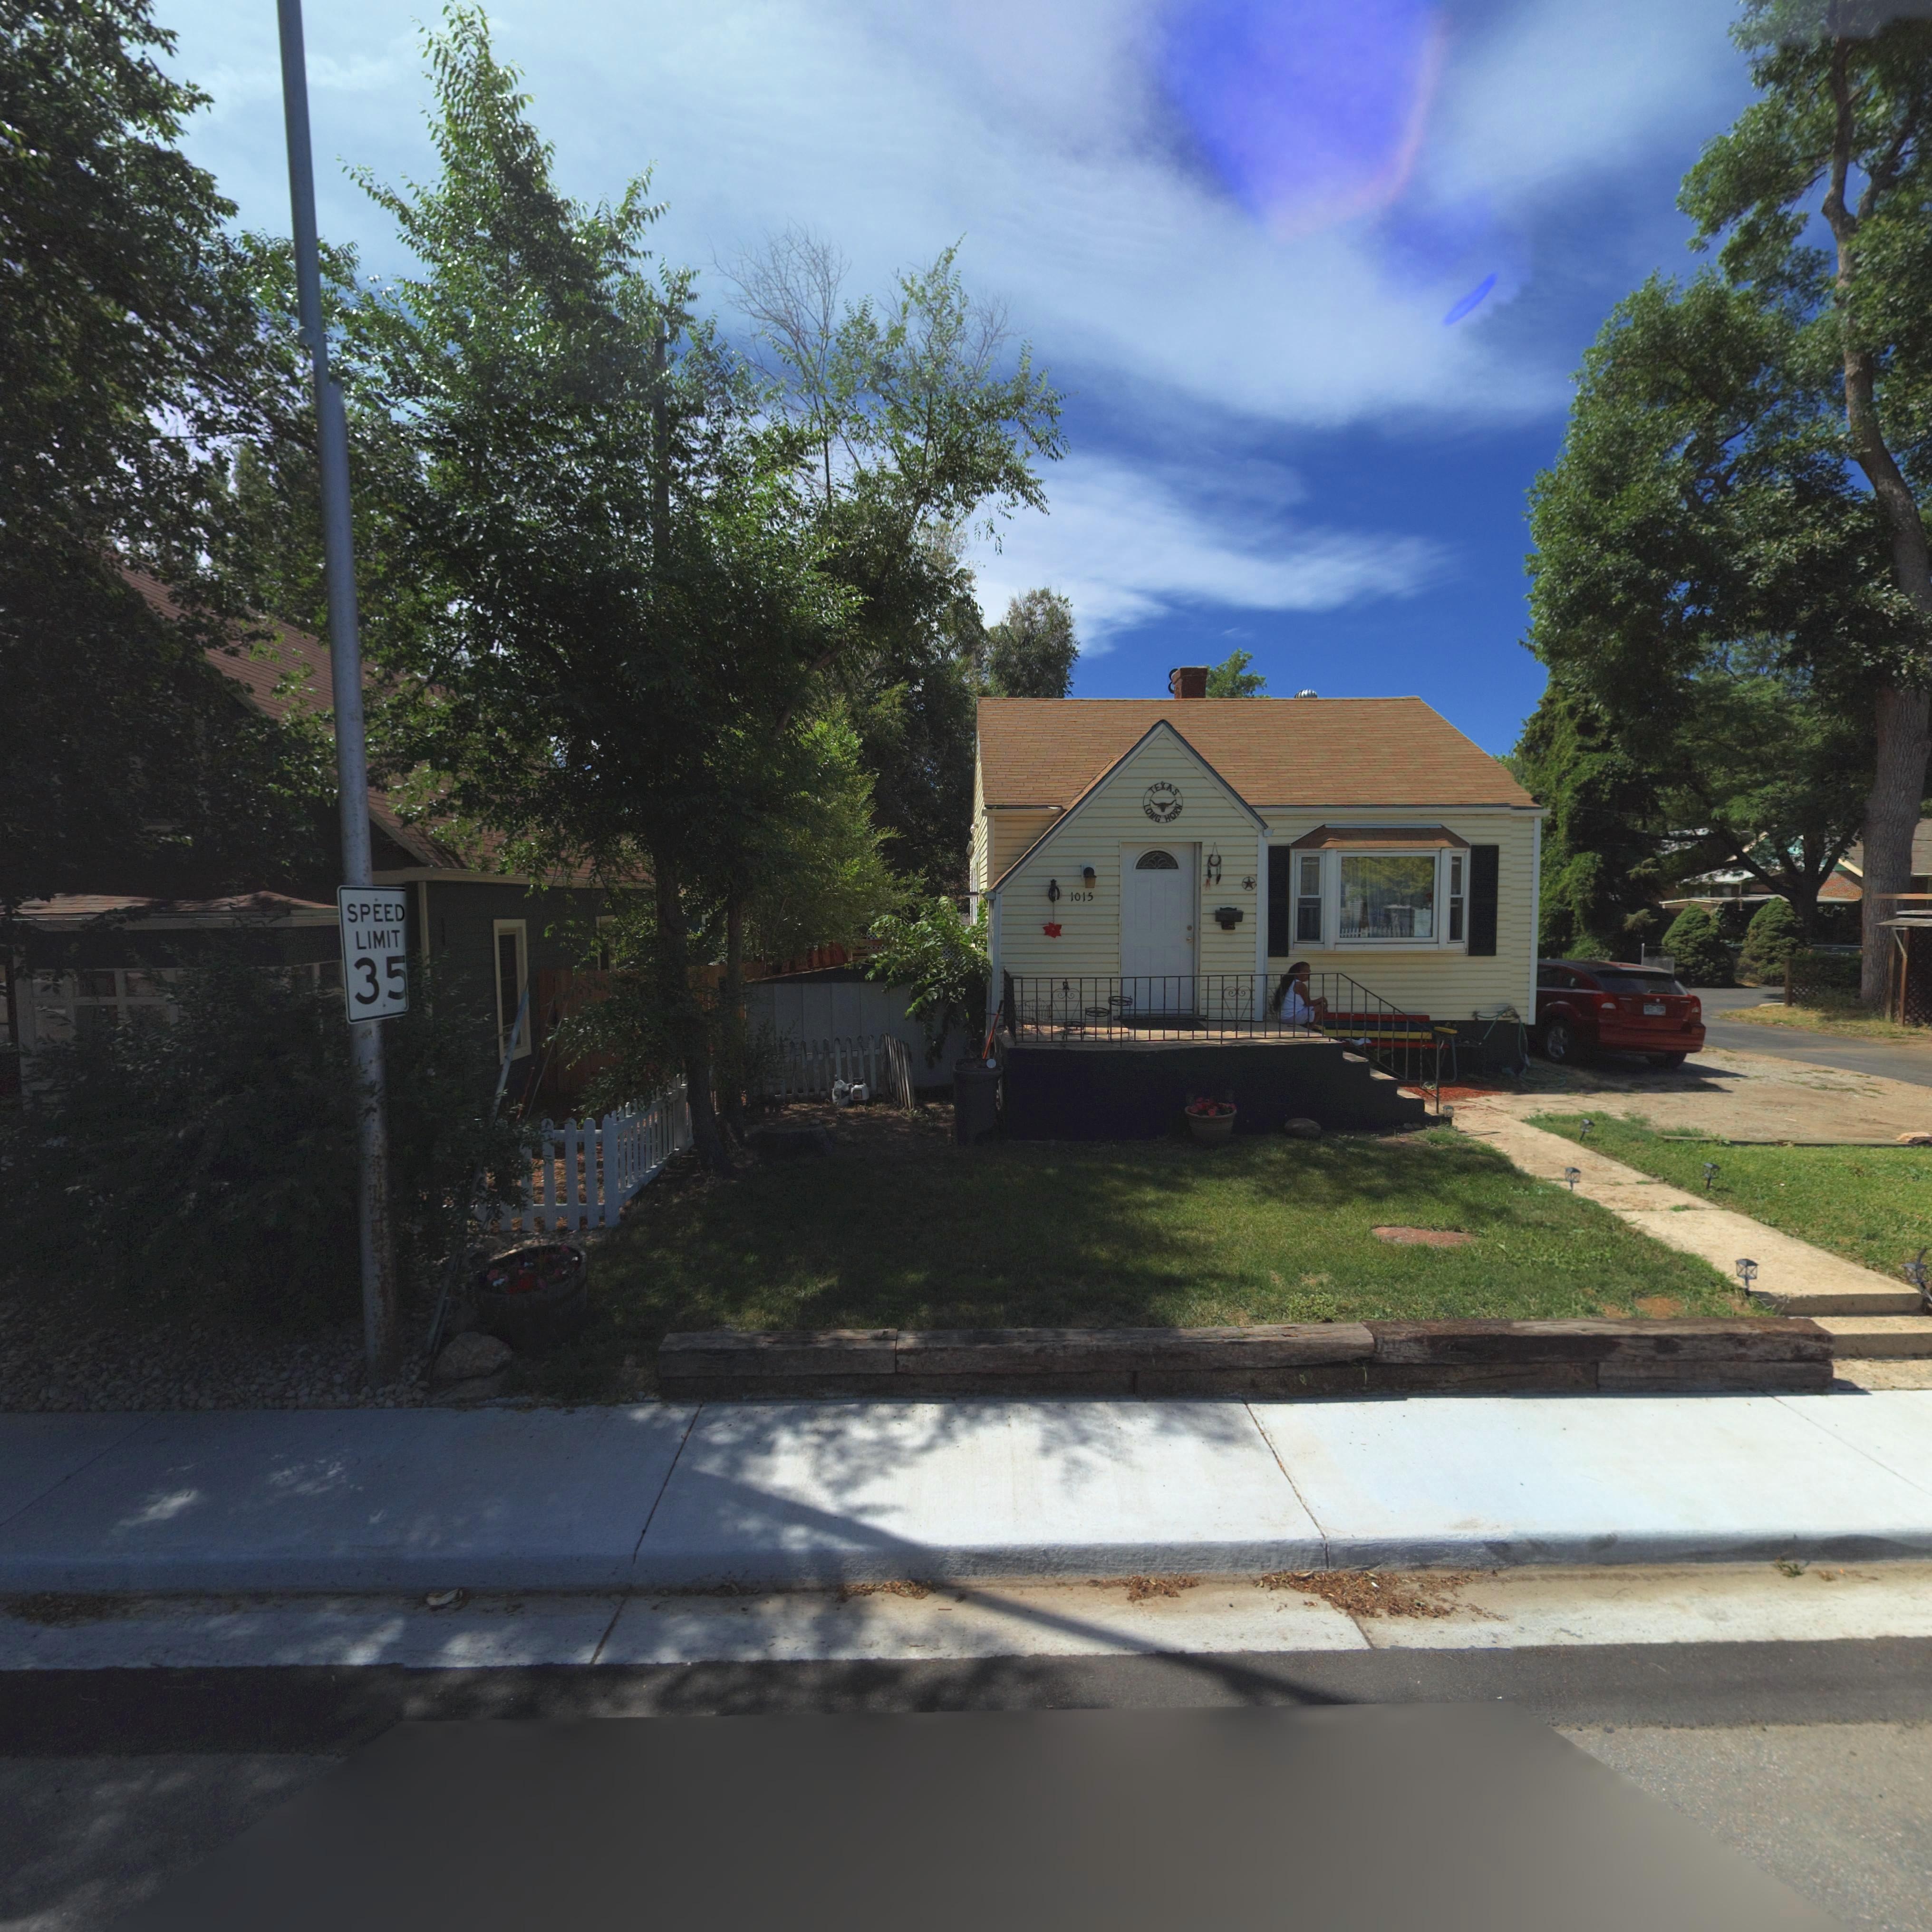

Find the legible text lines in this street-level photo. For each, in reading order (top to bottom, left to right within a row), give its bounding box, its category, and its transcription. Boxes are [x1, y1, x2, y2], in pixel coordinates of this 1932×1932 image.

[1070, 891, 1093, 902] StreetNumber: 1015